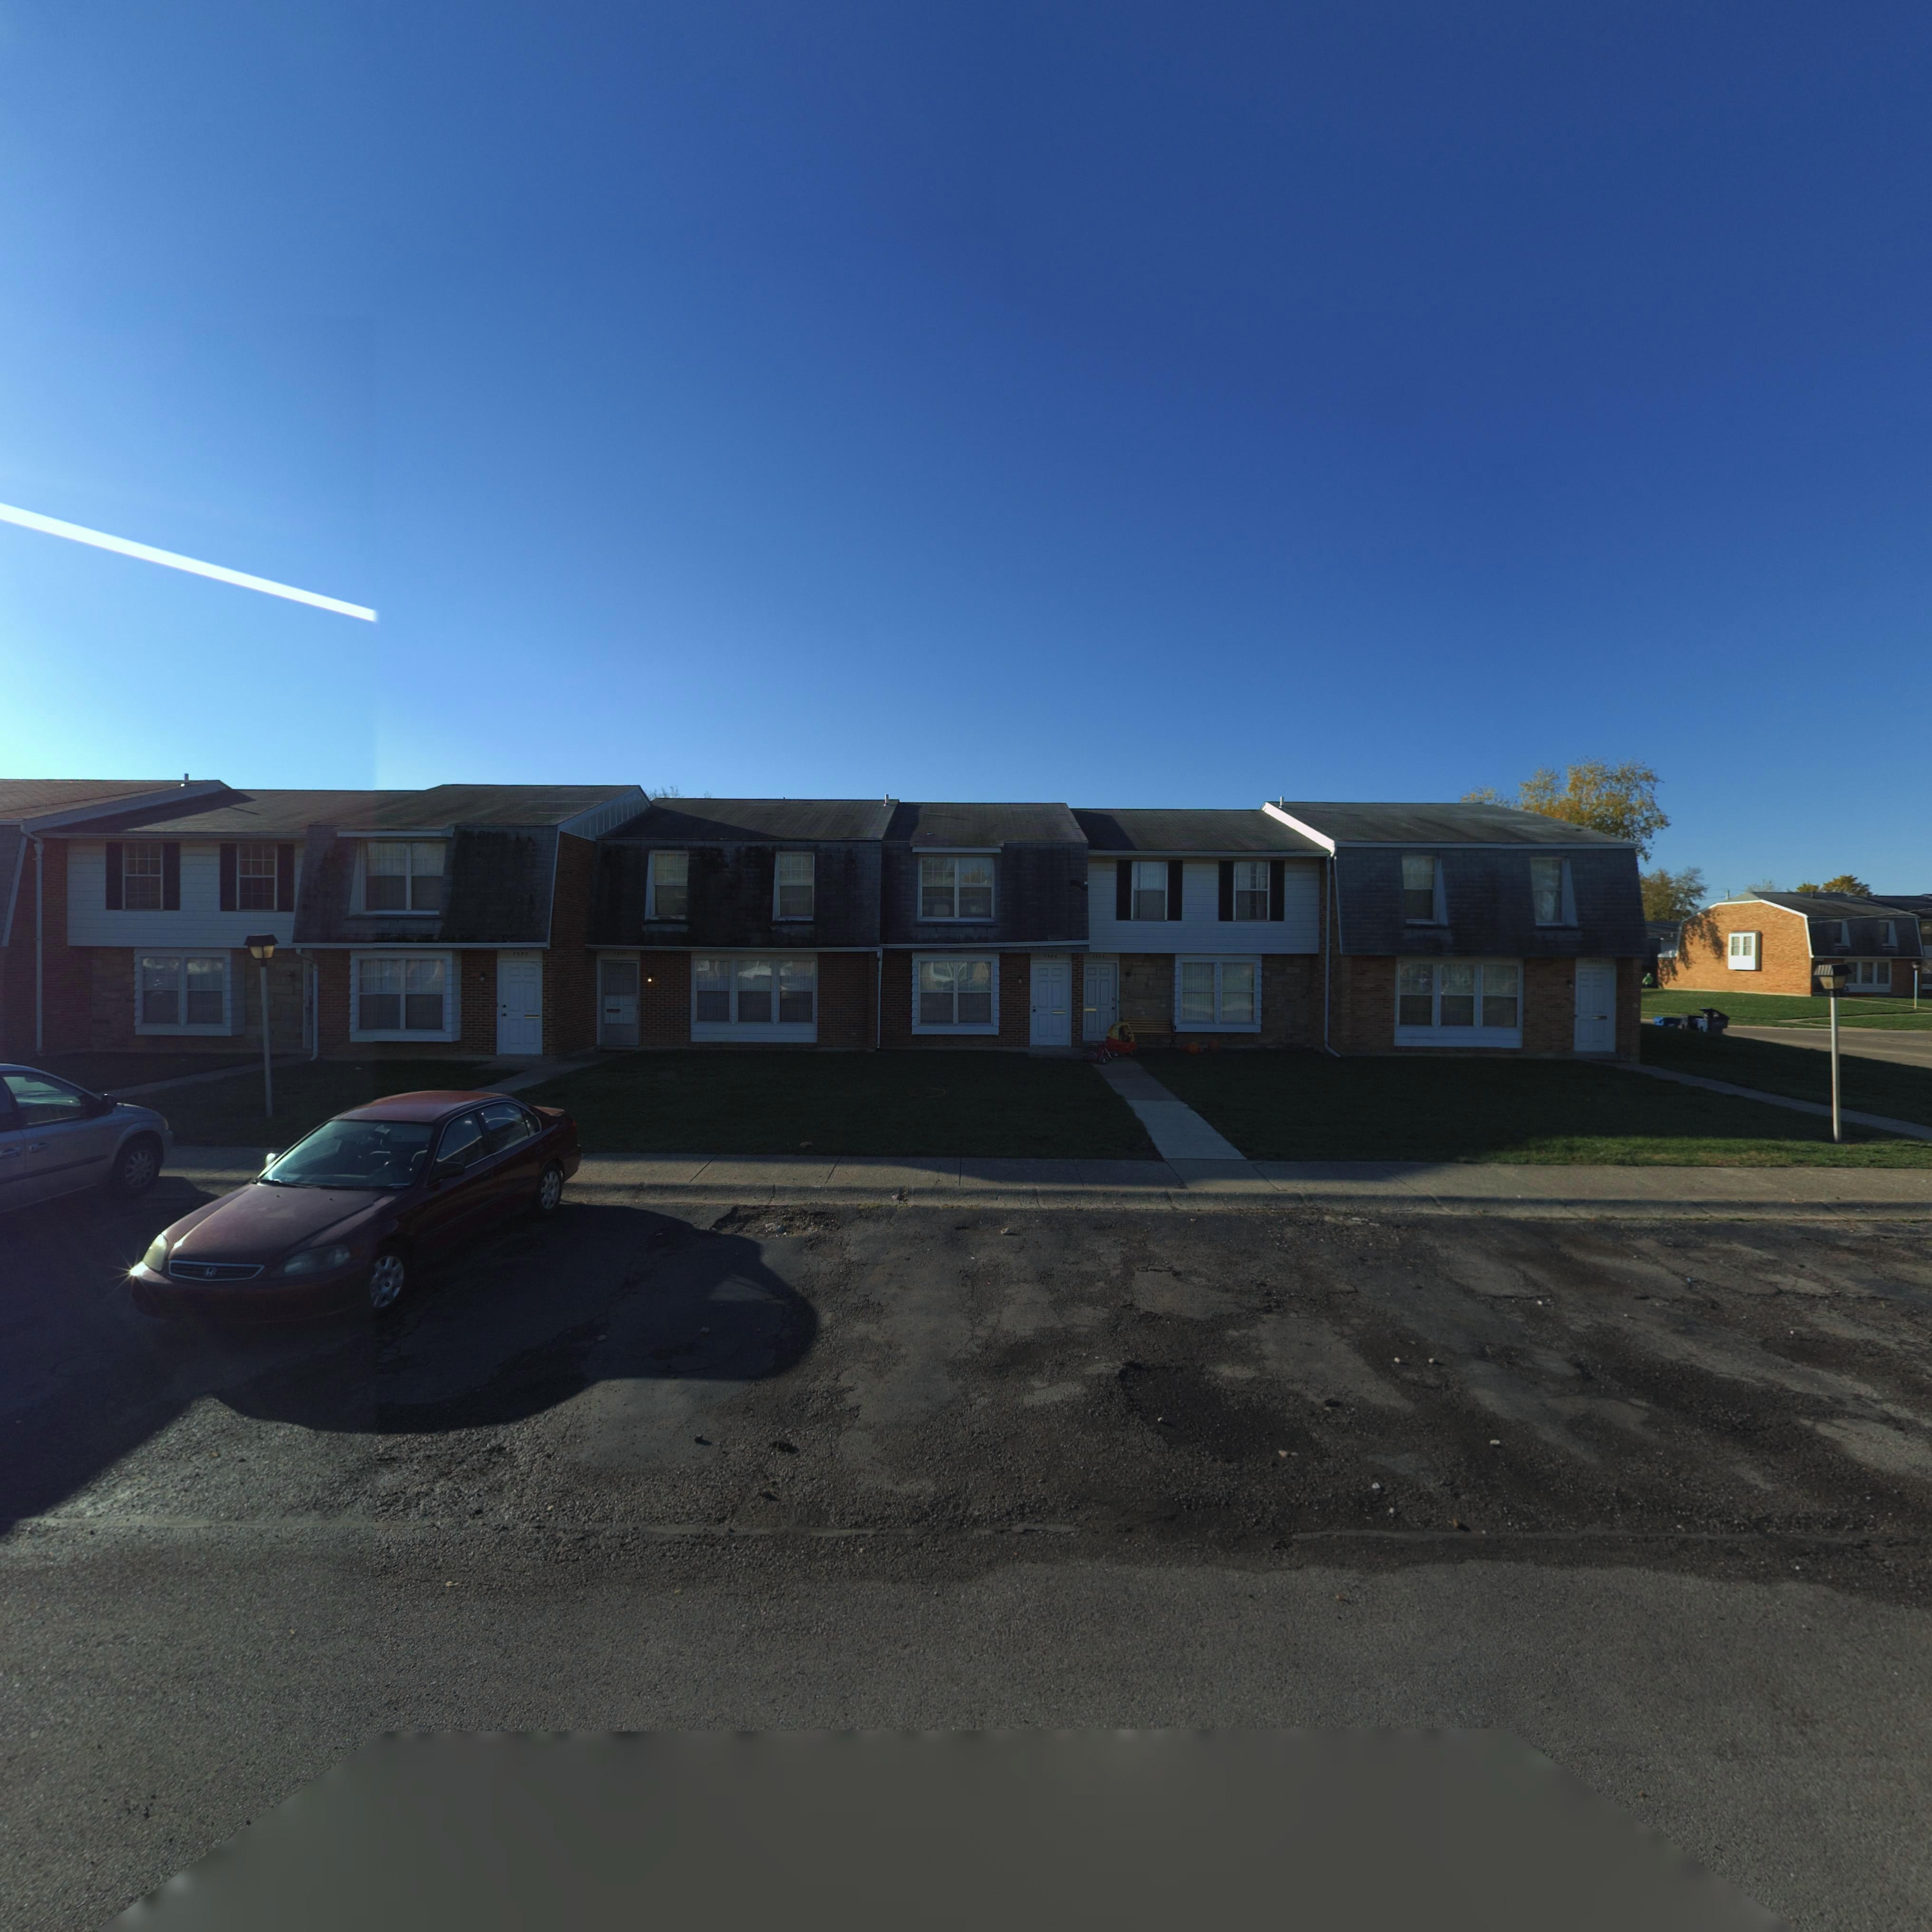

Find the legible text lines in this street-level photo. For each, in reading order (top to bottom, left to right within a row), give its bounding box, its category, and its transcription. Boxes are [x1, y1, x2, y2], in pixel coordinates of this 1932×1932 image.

[512, 951, 530, 957] StreetNumber: 7590
[611, 951, 628, 956] StreetNumber: 7588
[1043, 954, 1058, 959] StreetNumber: 7586
[1092, 954, 1105, 959] StreetNumber: 7584
[1586, 958, 1602, 963] StreetNumber: **82